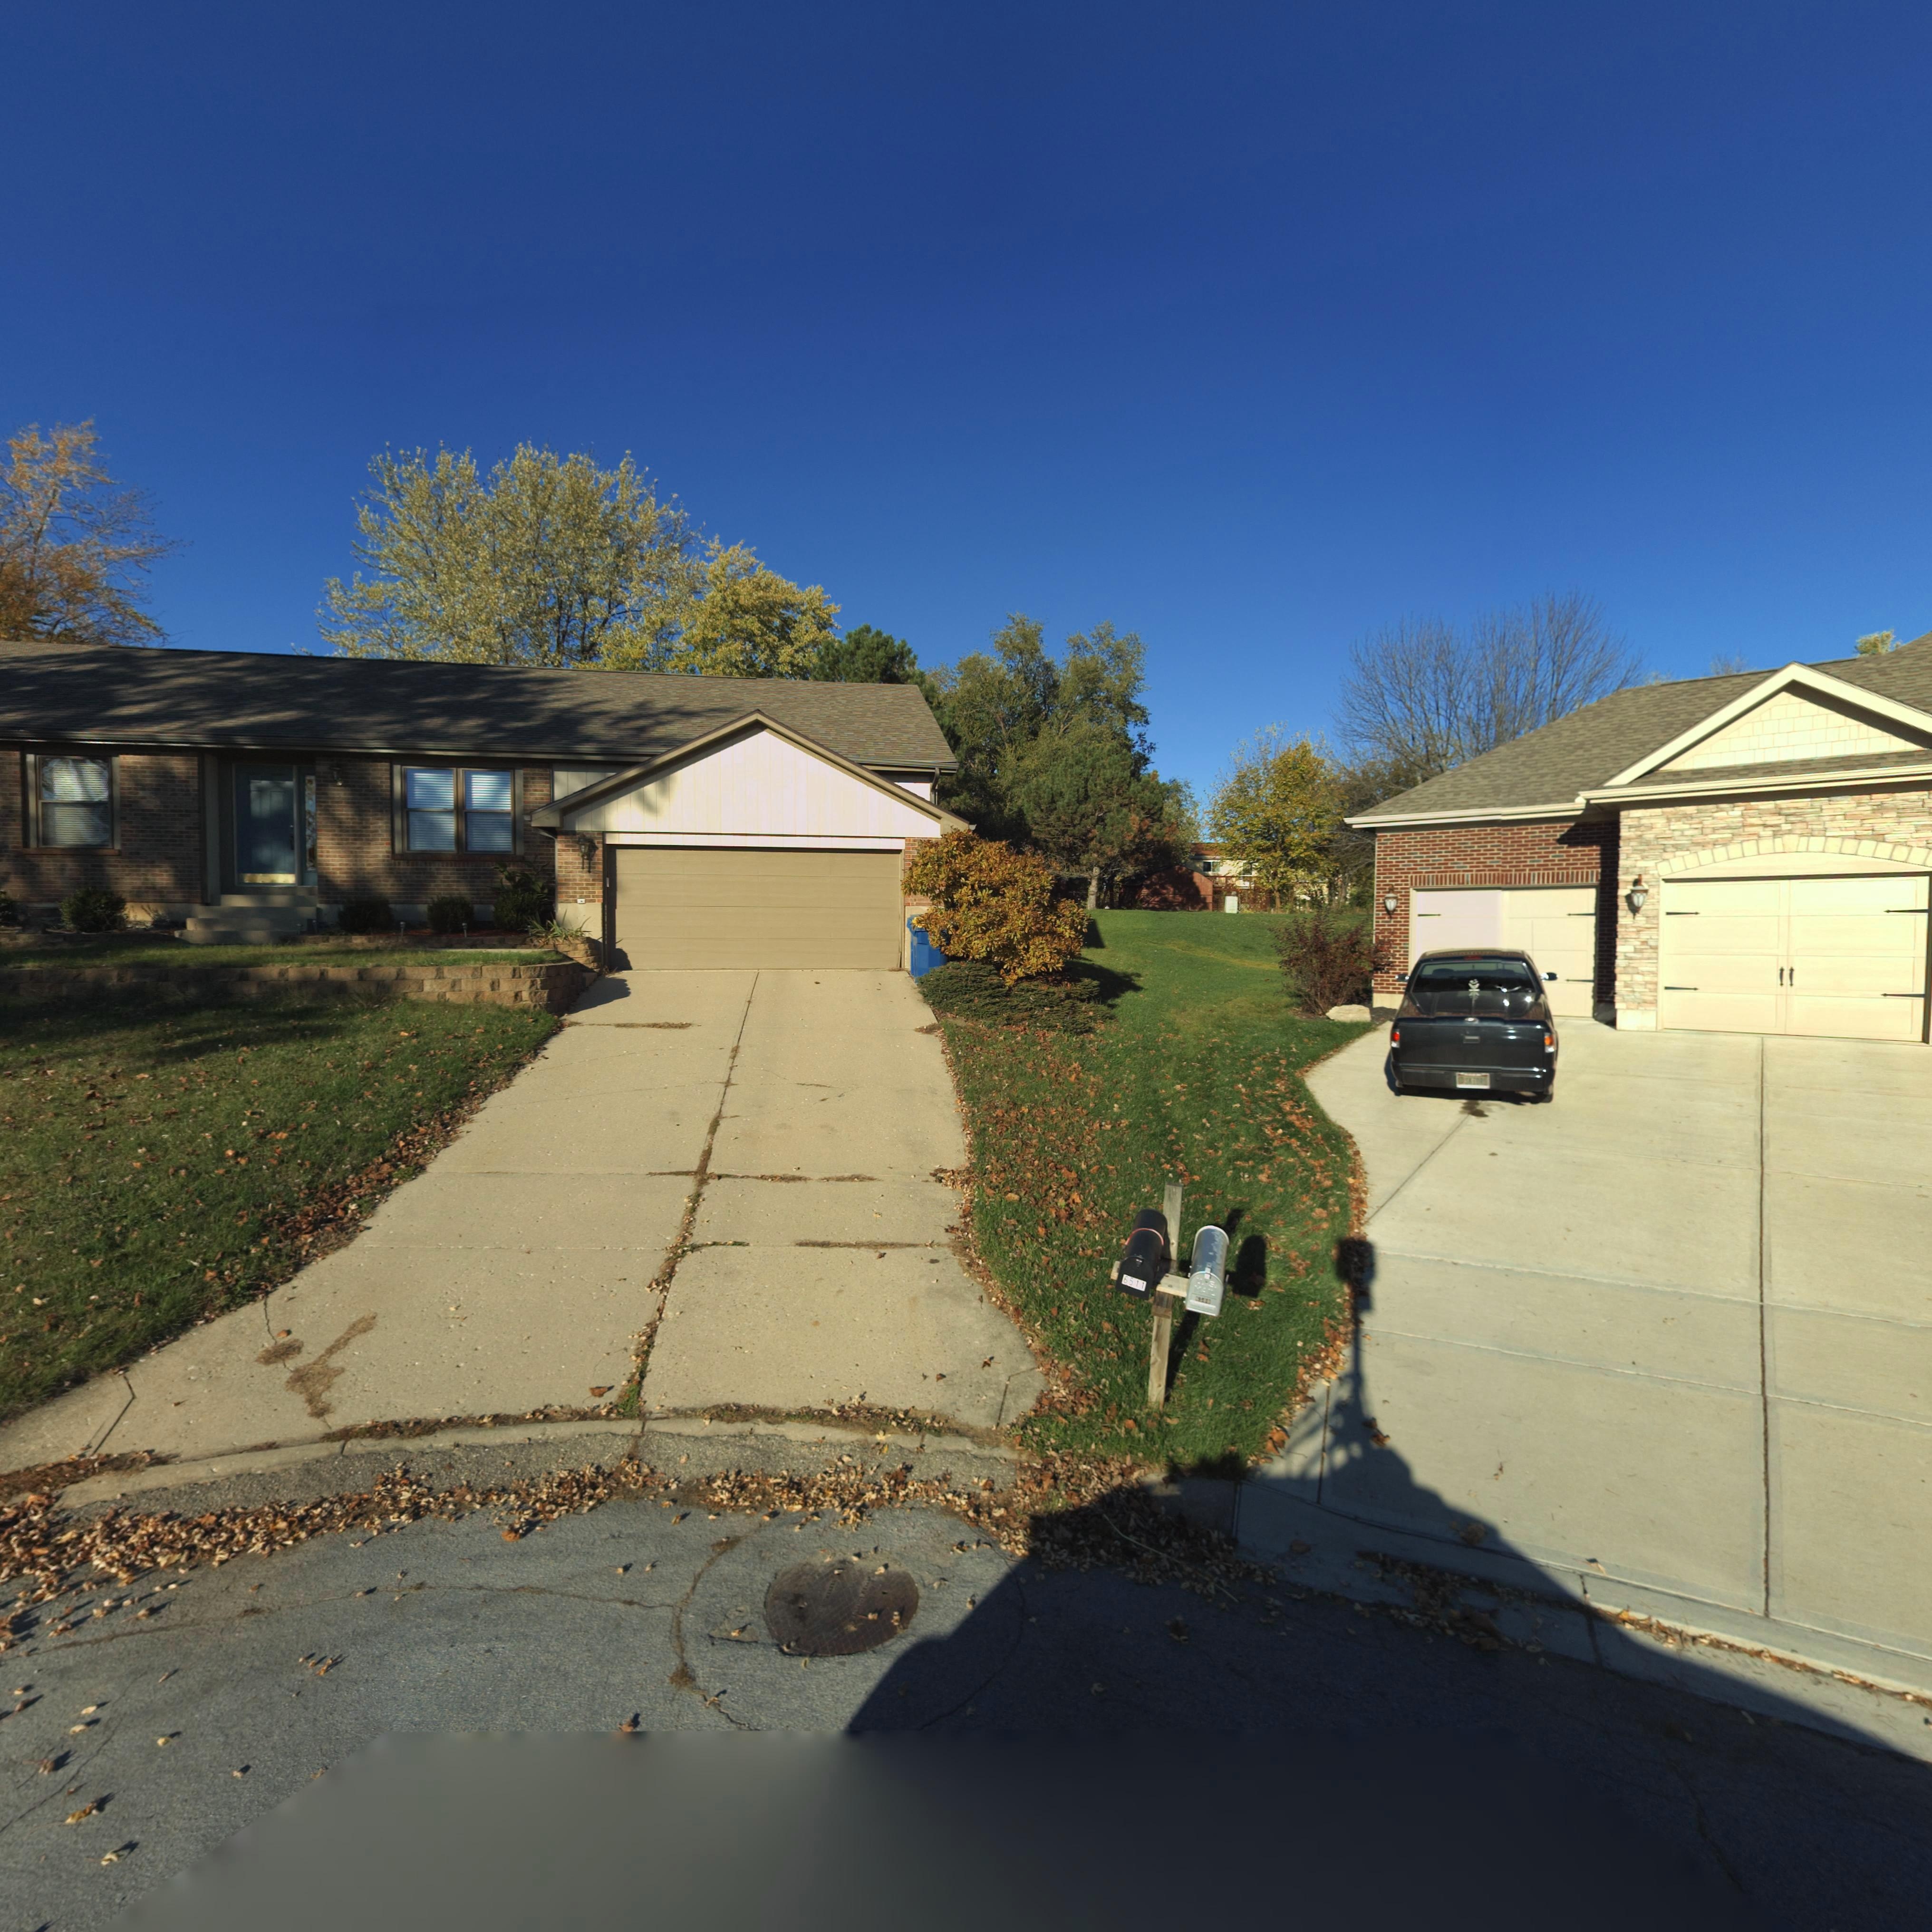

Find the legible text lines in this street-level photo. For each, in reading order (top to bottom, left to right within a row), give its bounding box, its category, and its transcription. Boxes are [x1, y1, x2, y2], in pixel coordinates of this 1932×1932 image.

[1121, 1274, 1145, 1291] StreetNumber: 6511